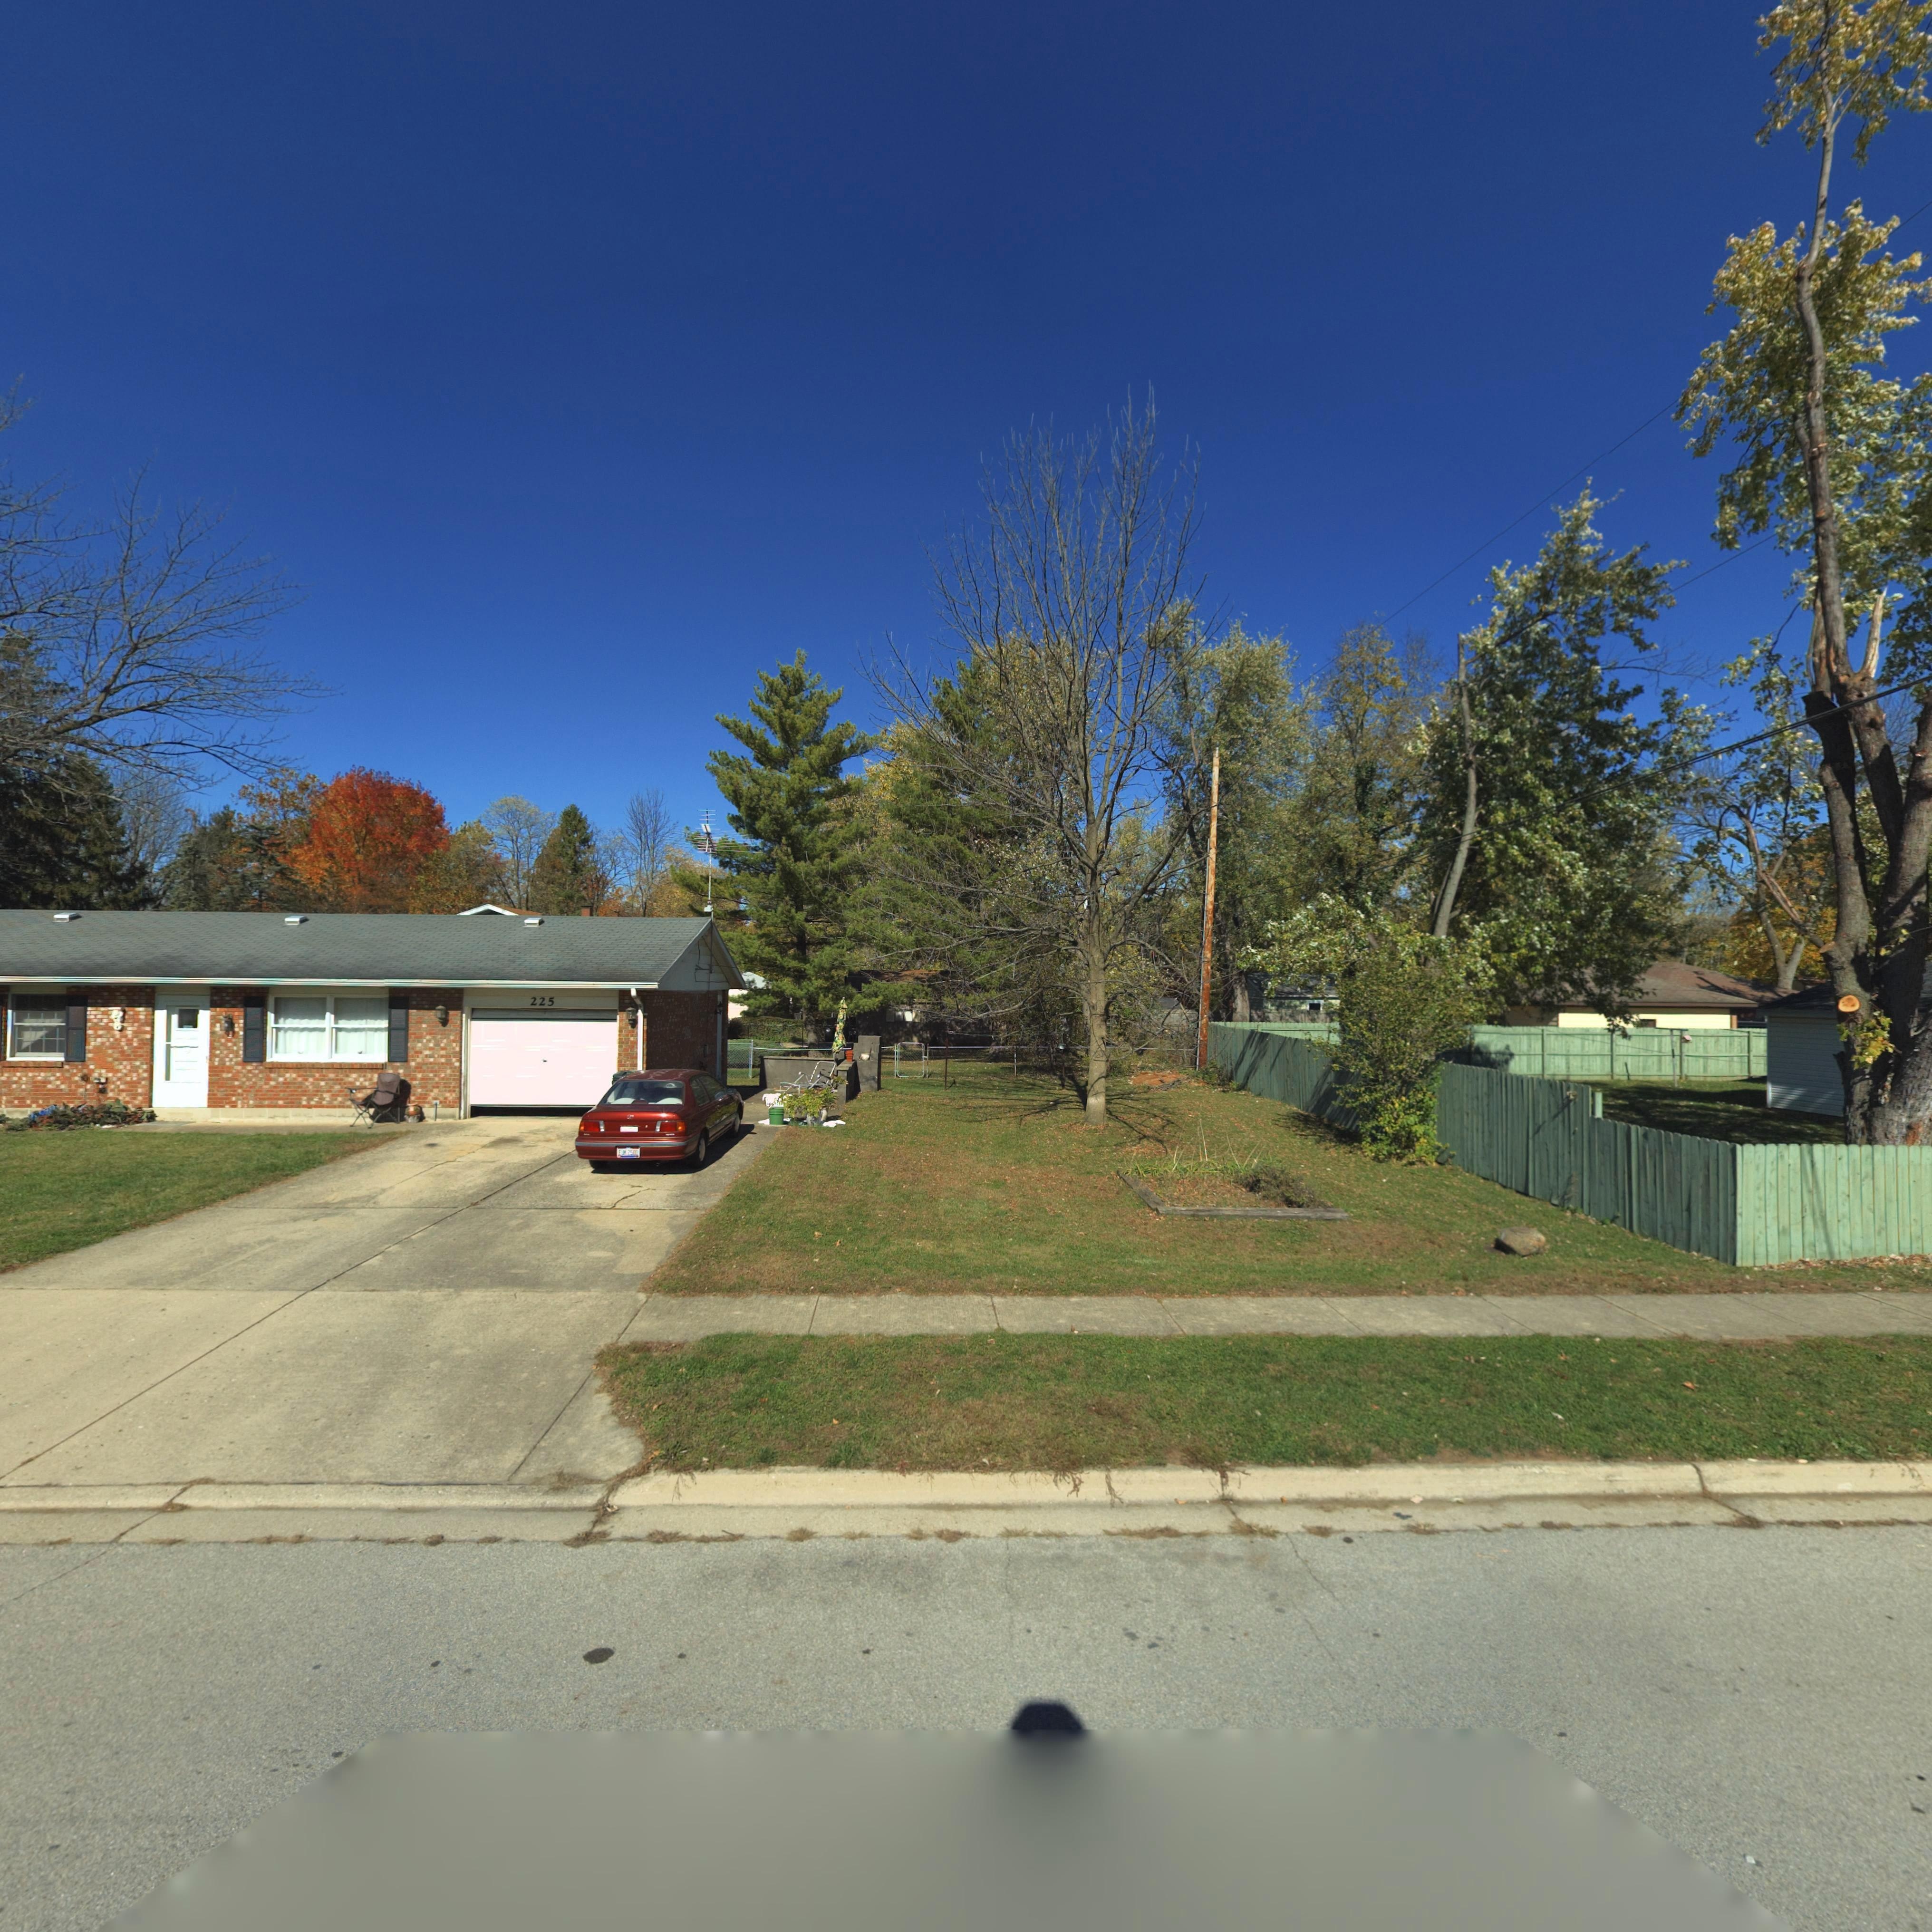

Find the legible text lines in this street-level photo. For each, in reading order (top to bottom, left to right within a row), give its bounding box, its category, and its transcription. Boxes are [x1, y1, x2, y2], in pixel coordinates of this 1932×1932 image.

[530, 997, 555, 1006] StreetNumber: 225